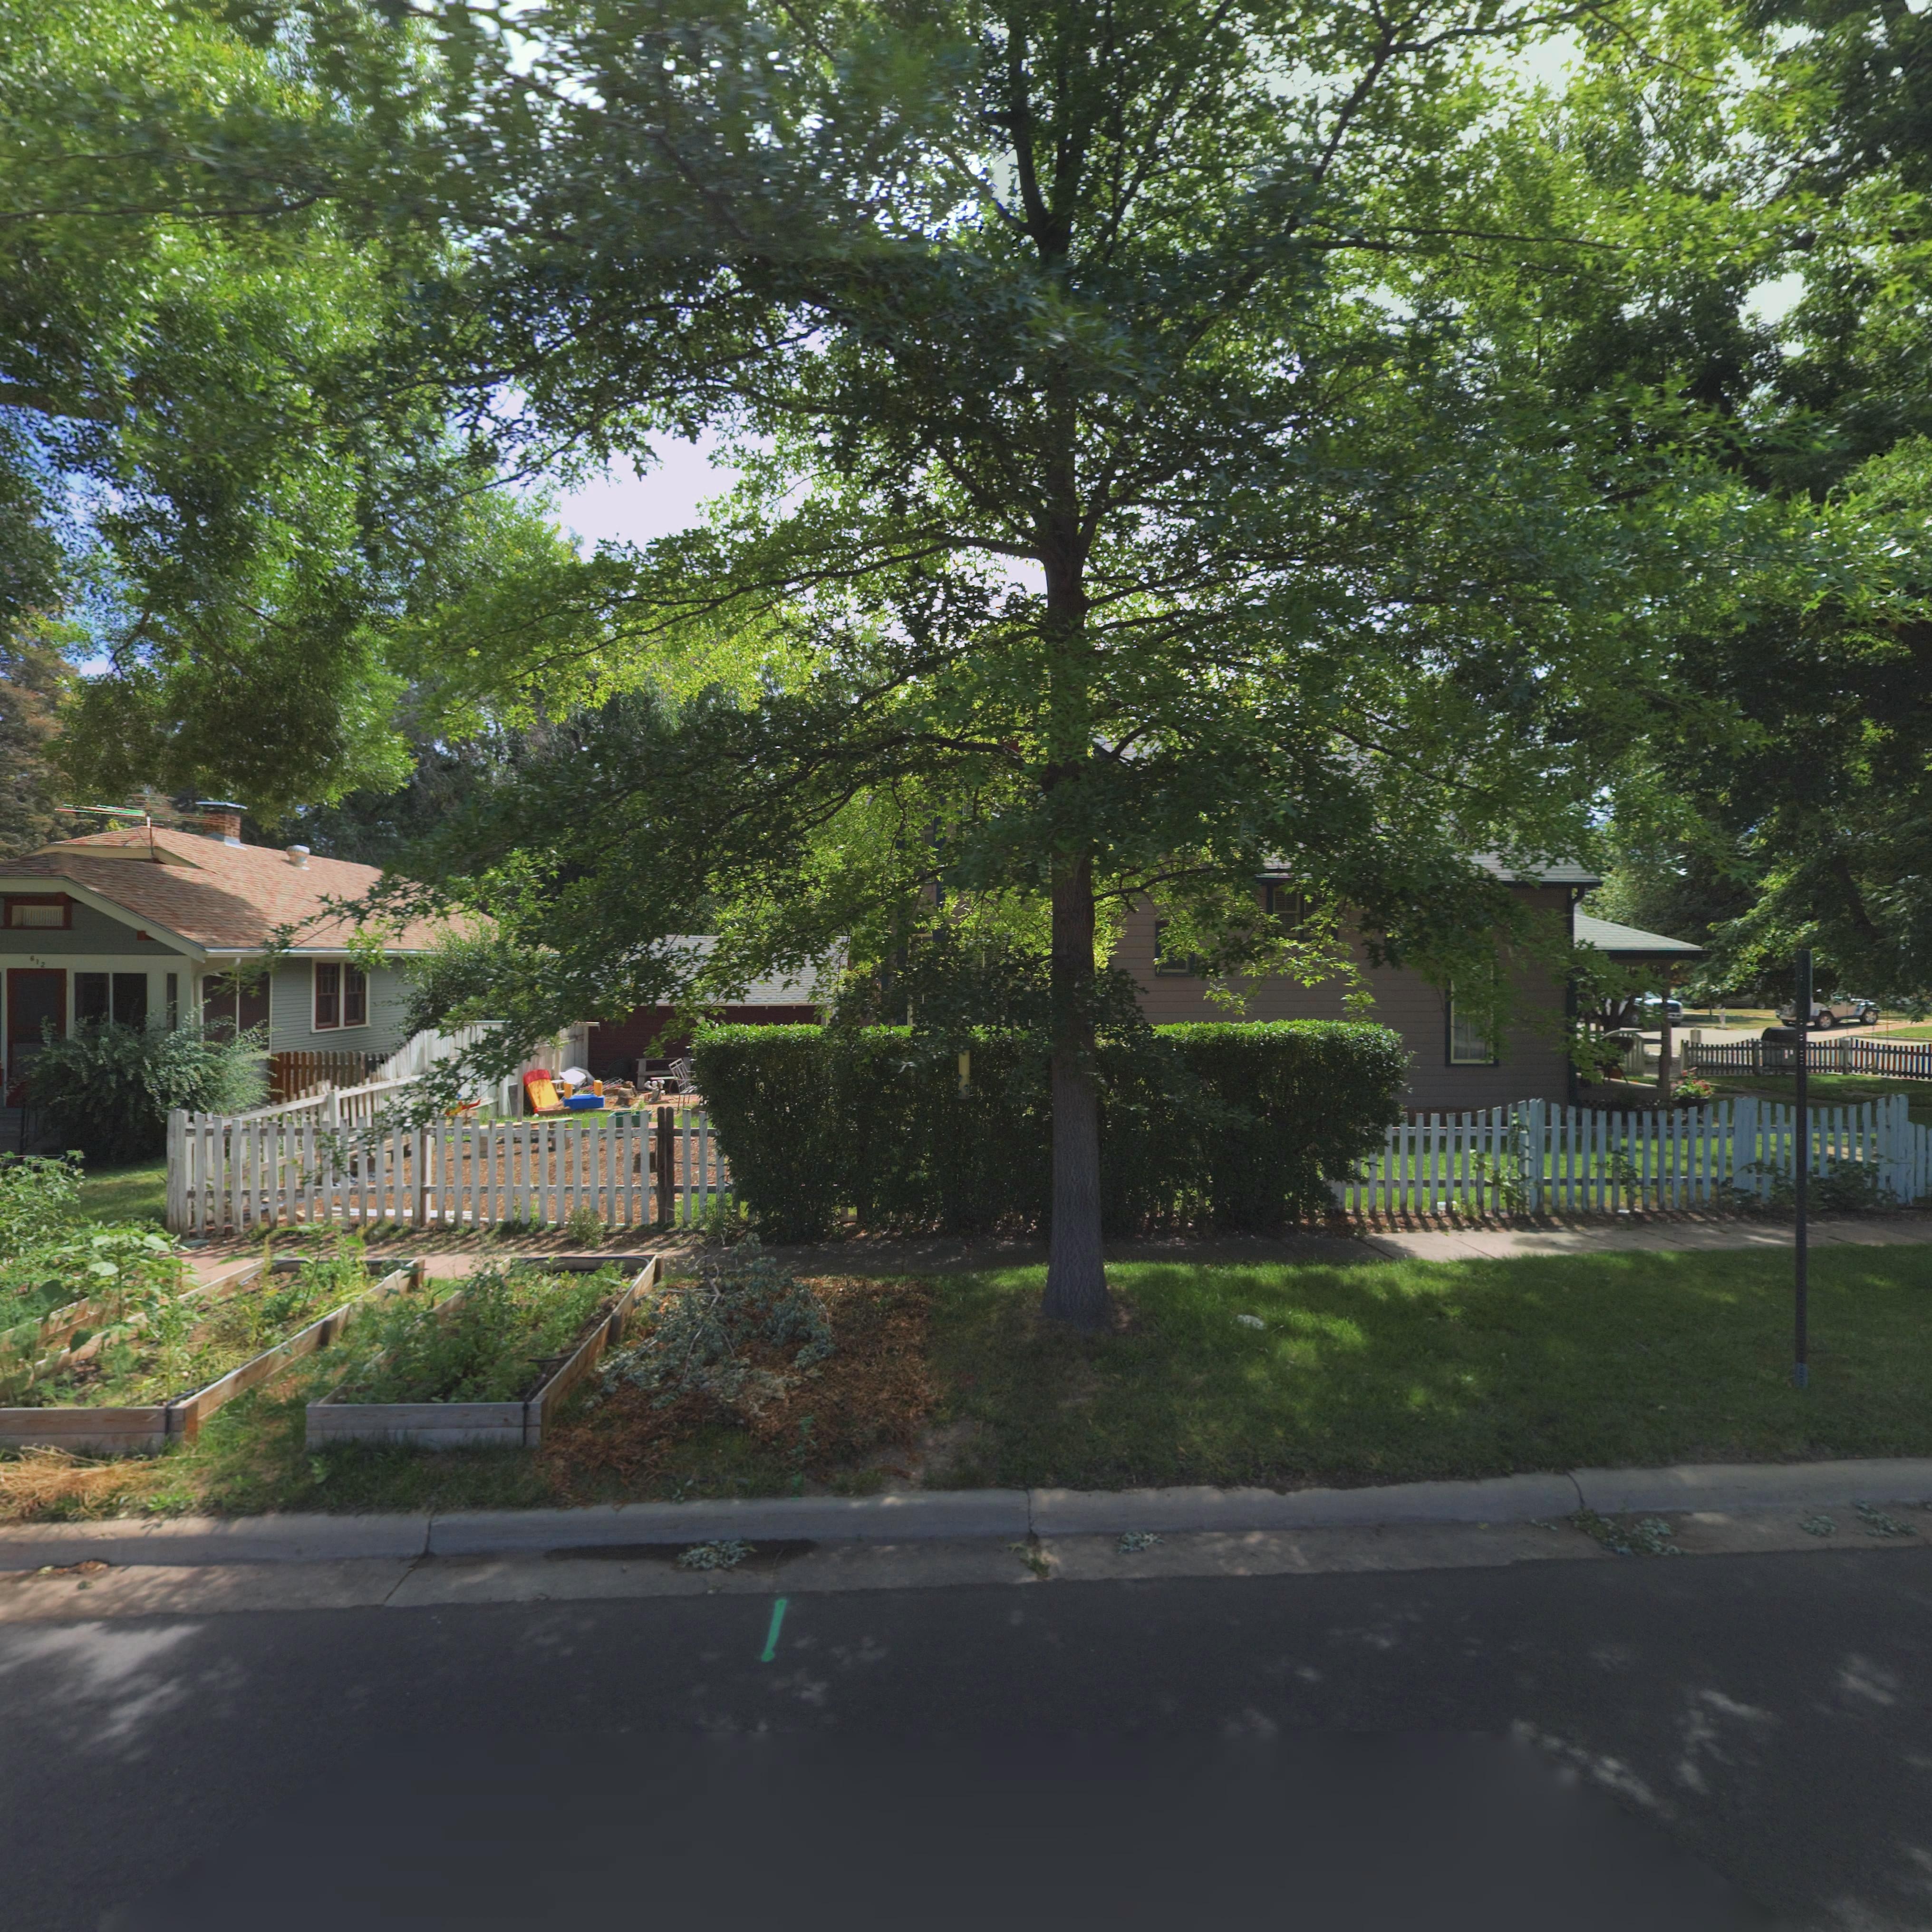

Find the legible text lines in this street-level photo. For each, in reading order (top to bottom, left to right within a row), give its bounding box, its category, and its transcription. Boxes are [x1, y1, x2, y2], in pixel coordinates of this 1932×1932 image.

[29, 954, 46, 968] StreetNumber: 612